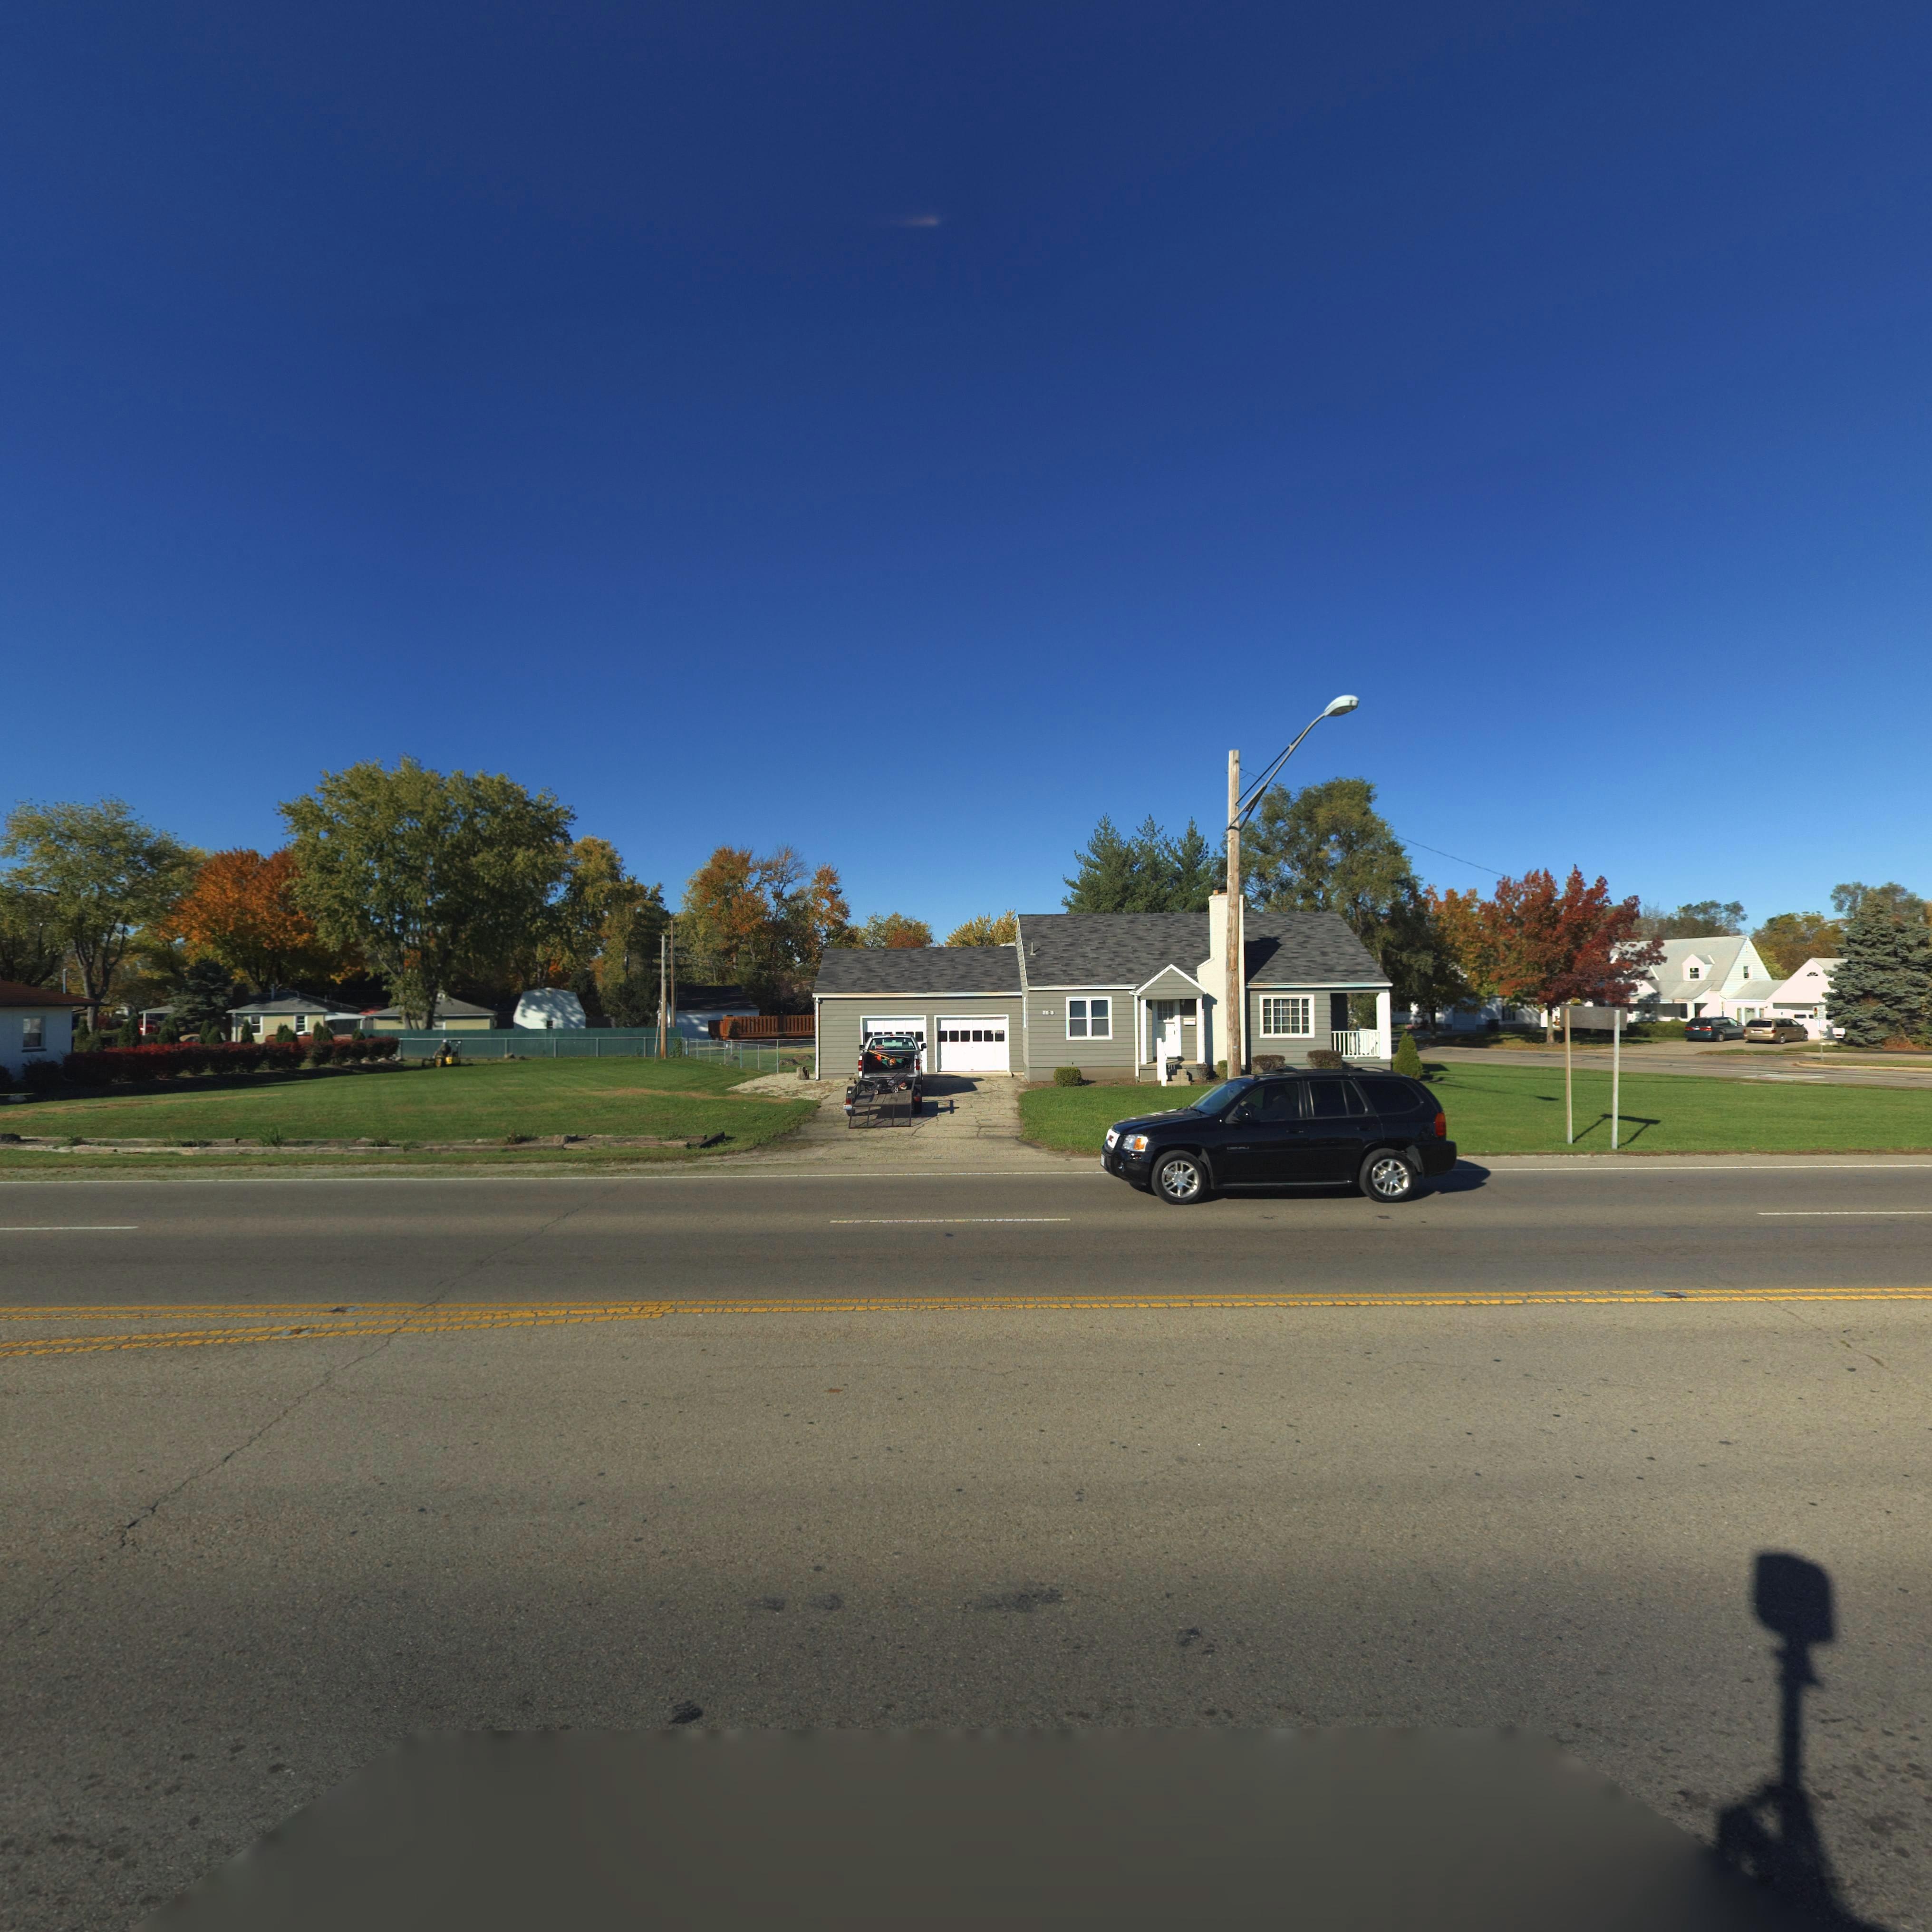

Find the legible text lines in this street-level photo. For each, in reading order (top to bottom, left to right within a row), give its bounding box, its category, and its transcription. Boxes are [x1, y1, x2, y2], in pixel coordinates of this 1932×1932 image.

[1043, 1010, 1051, 1015] StreetNumber: 1*